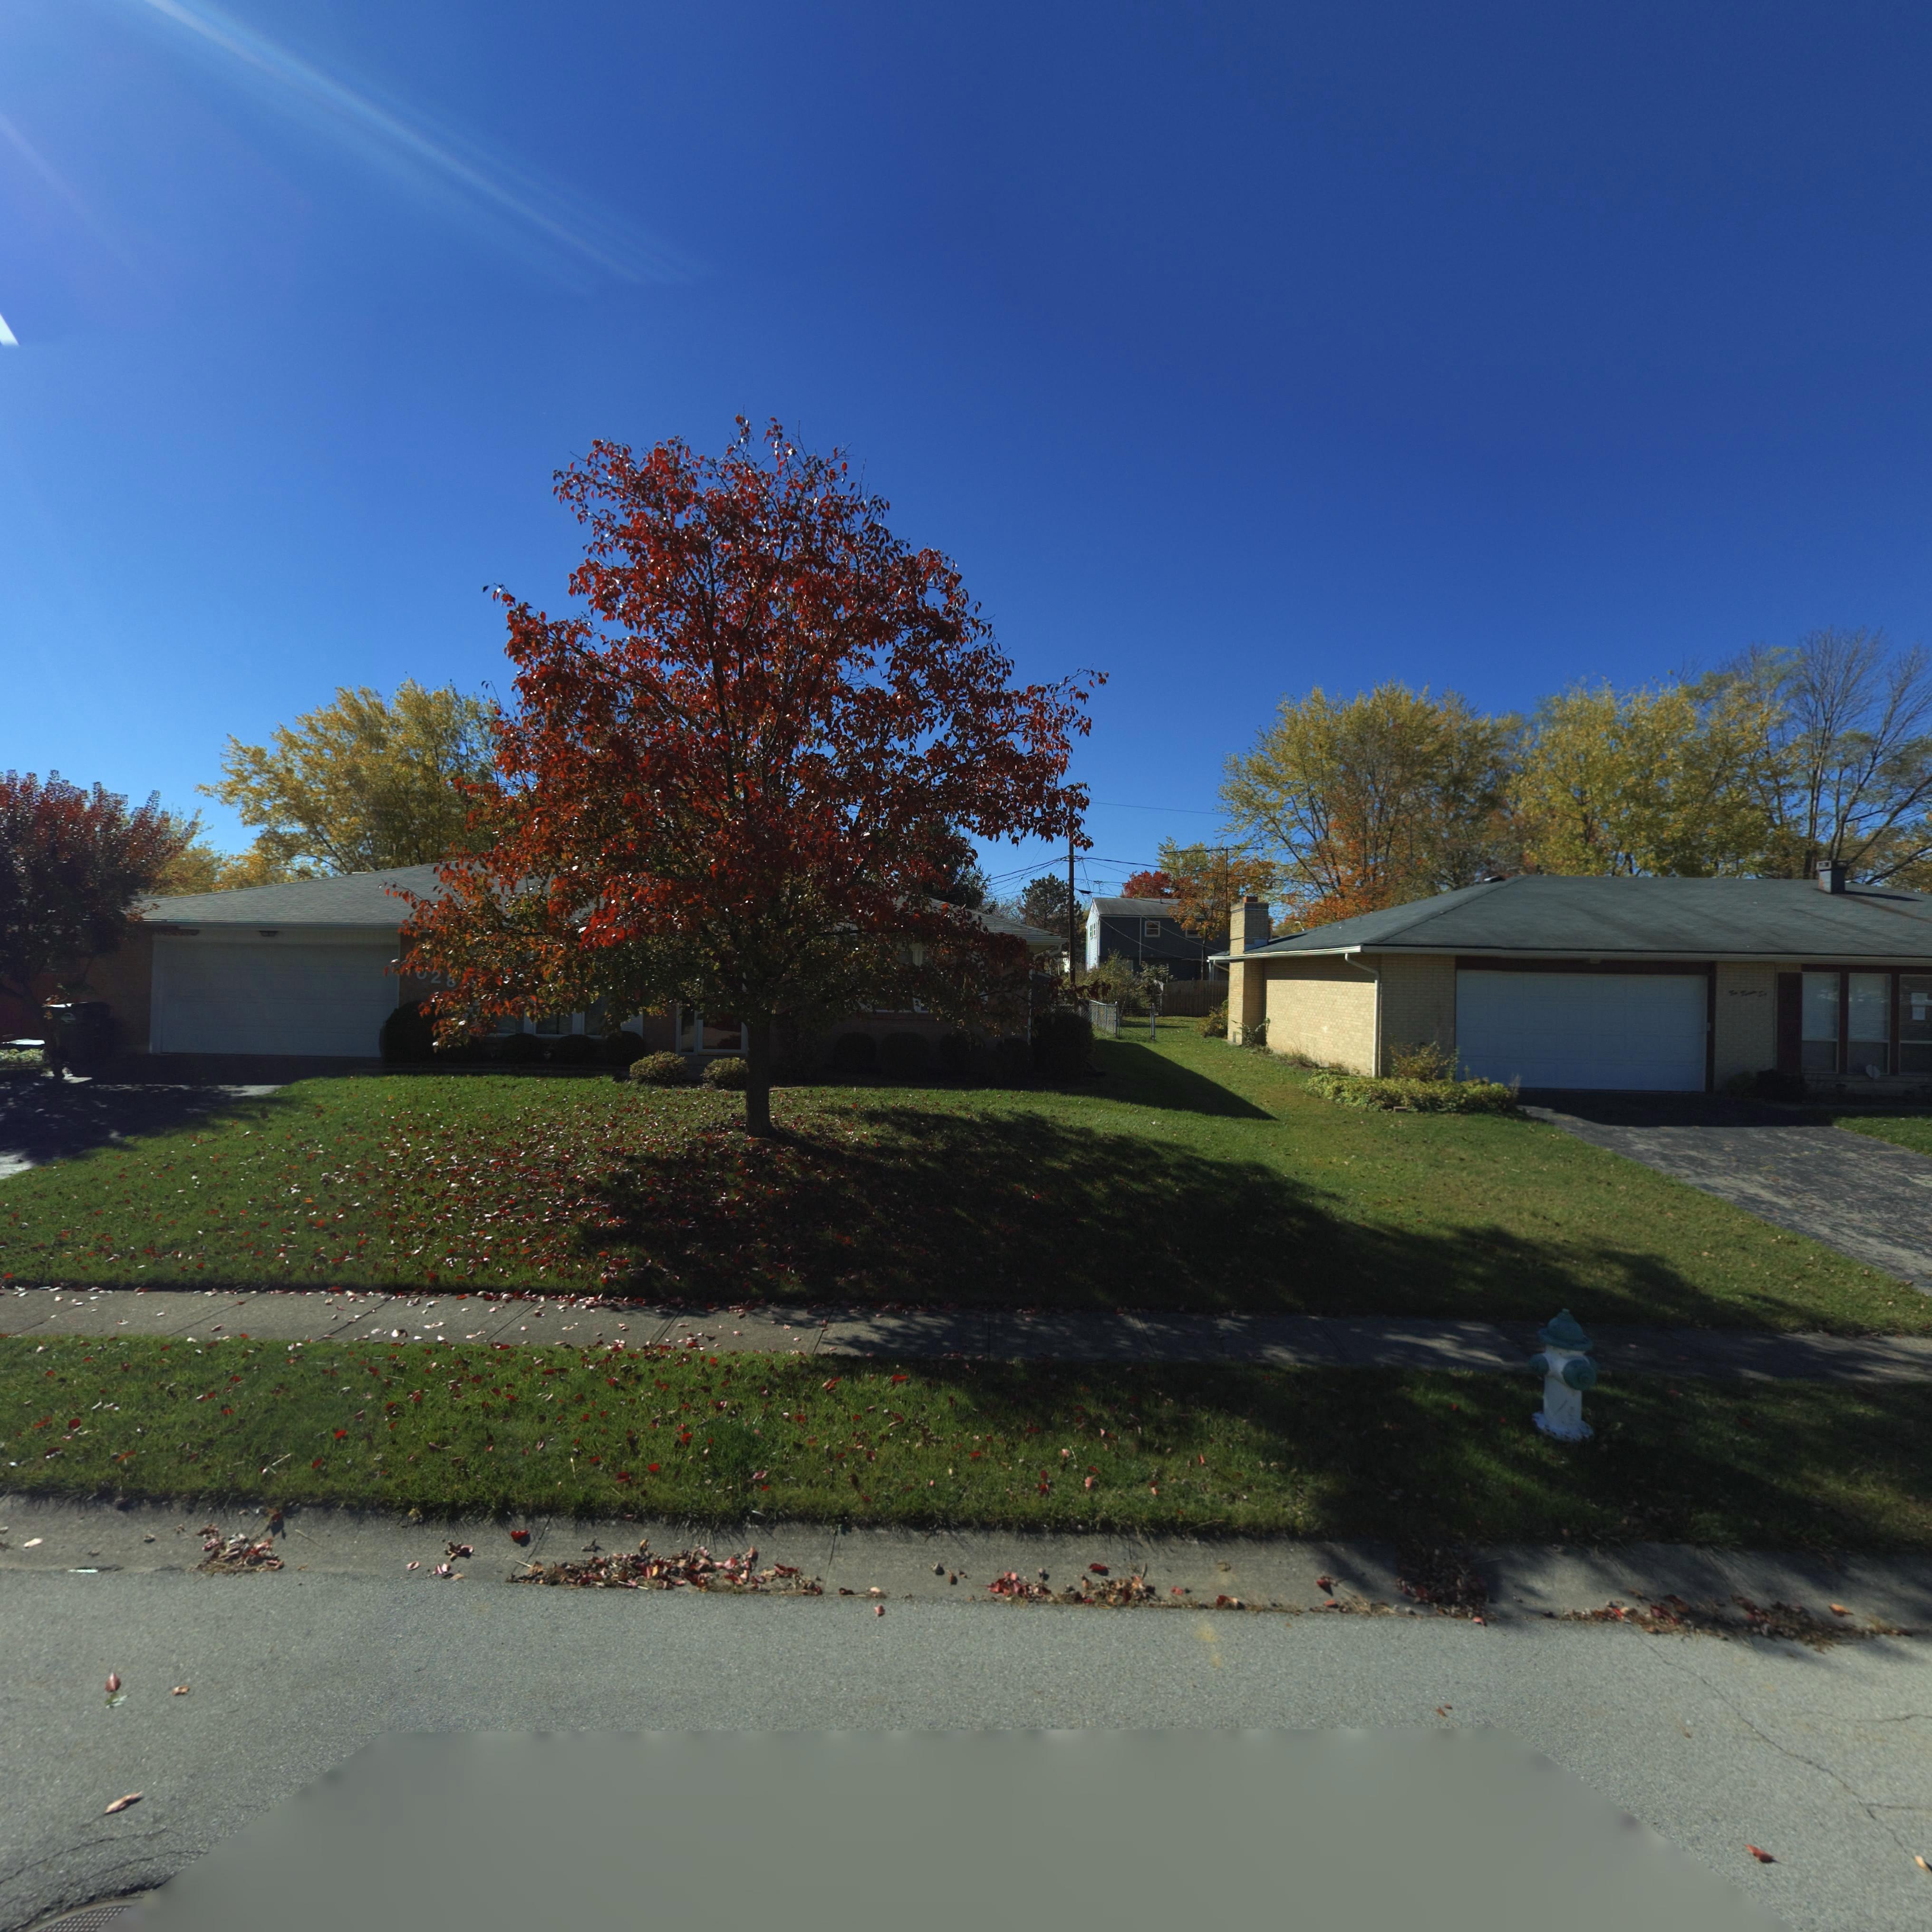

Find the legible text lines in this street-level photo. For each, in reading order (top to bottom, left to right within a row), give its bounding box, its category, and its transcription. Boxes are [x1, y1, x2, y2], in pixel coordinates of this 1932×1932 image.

[430, 968, 442, 984] StreetNumber: 2
[1727, 989, 1768, 998] StreetNumber: Ten Twenty Six